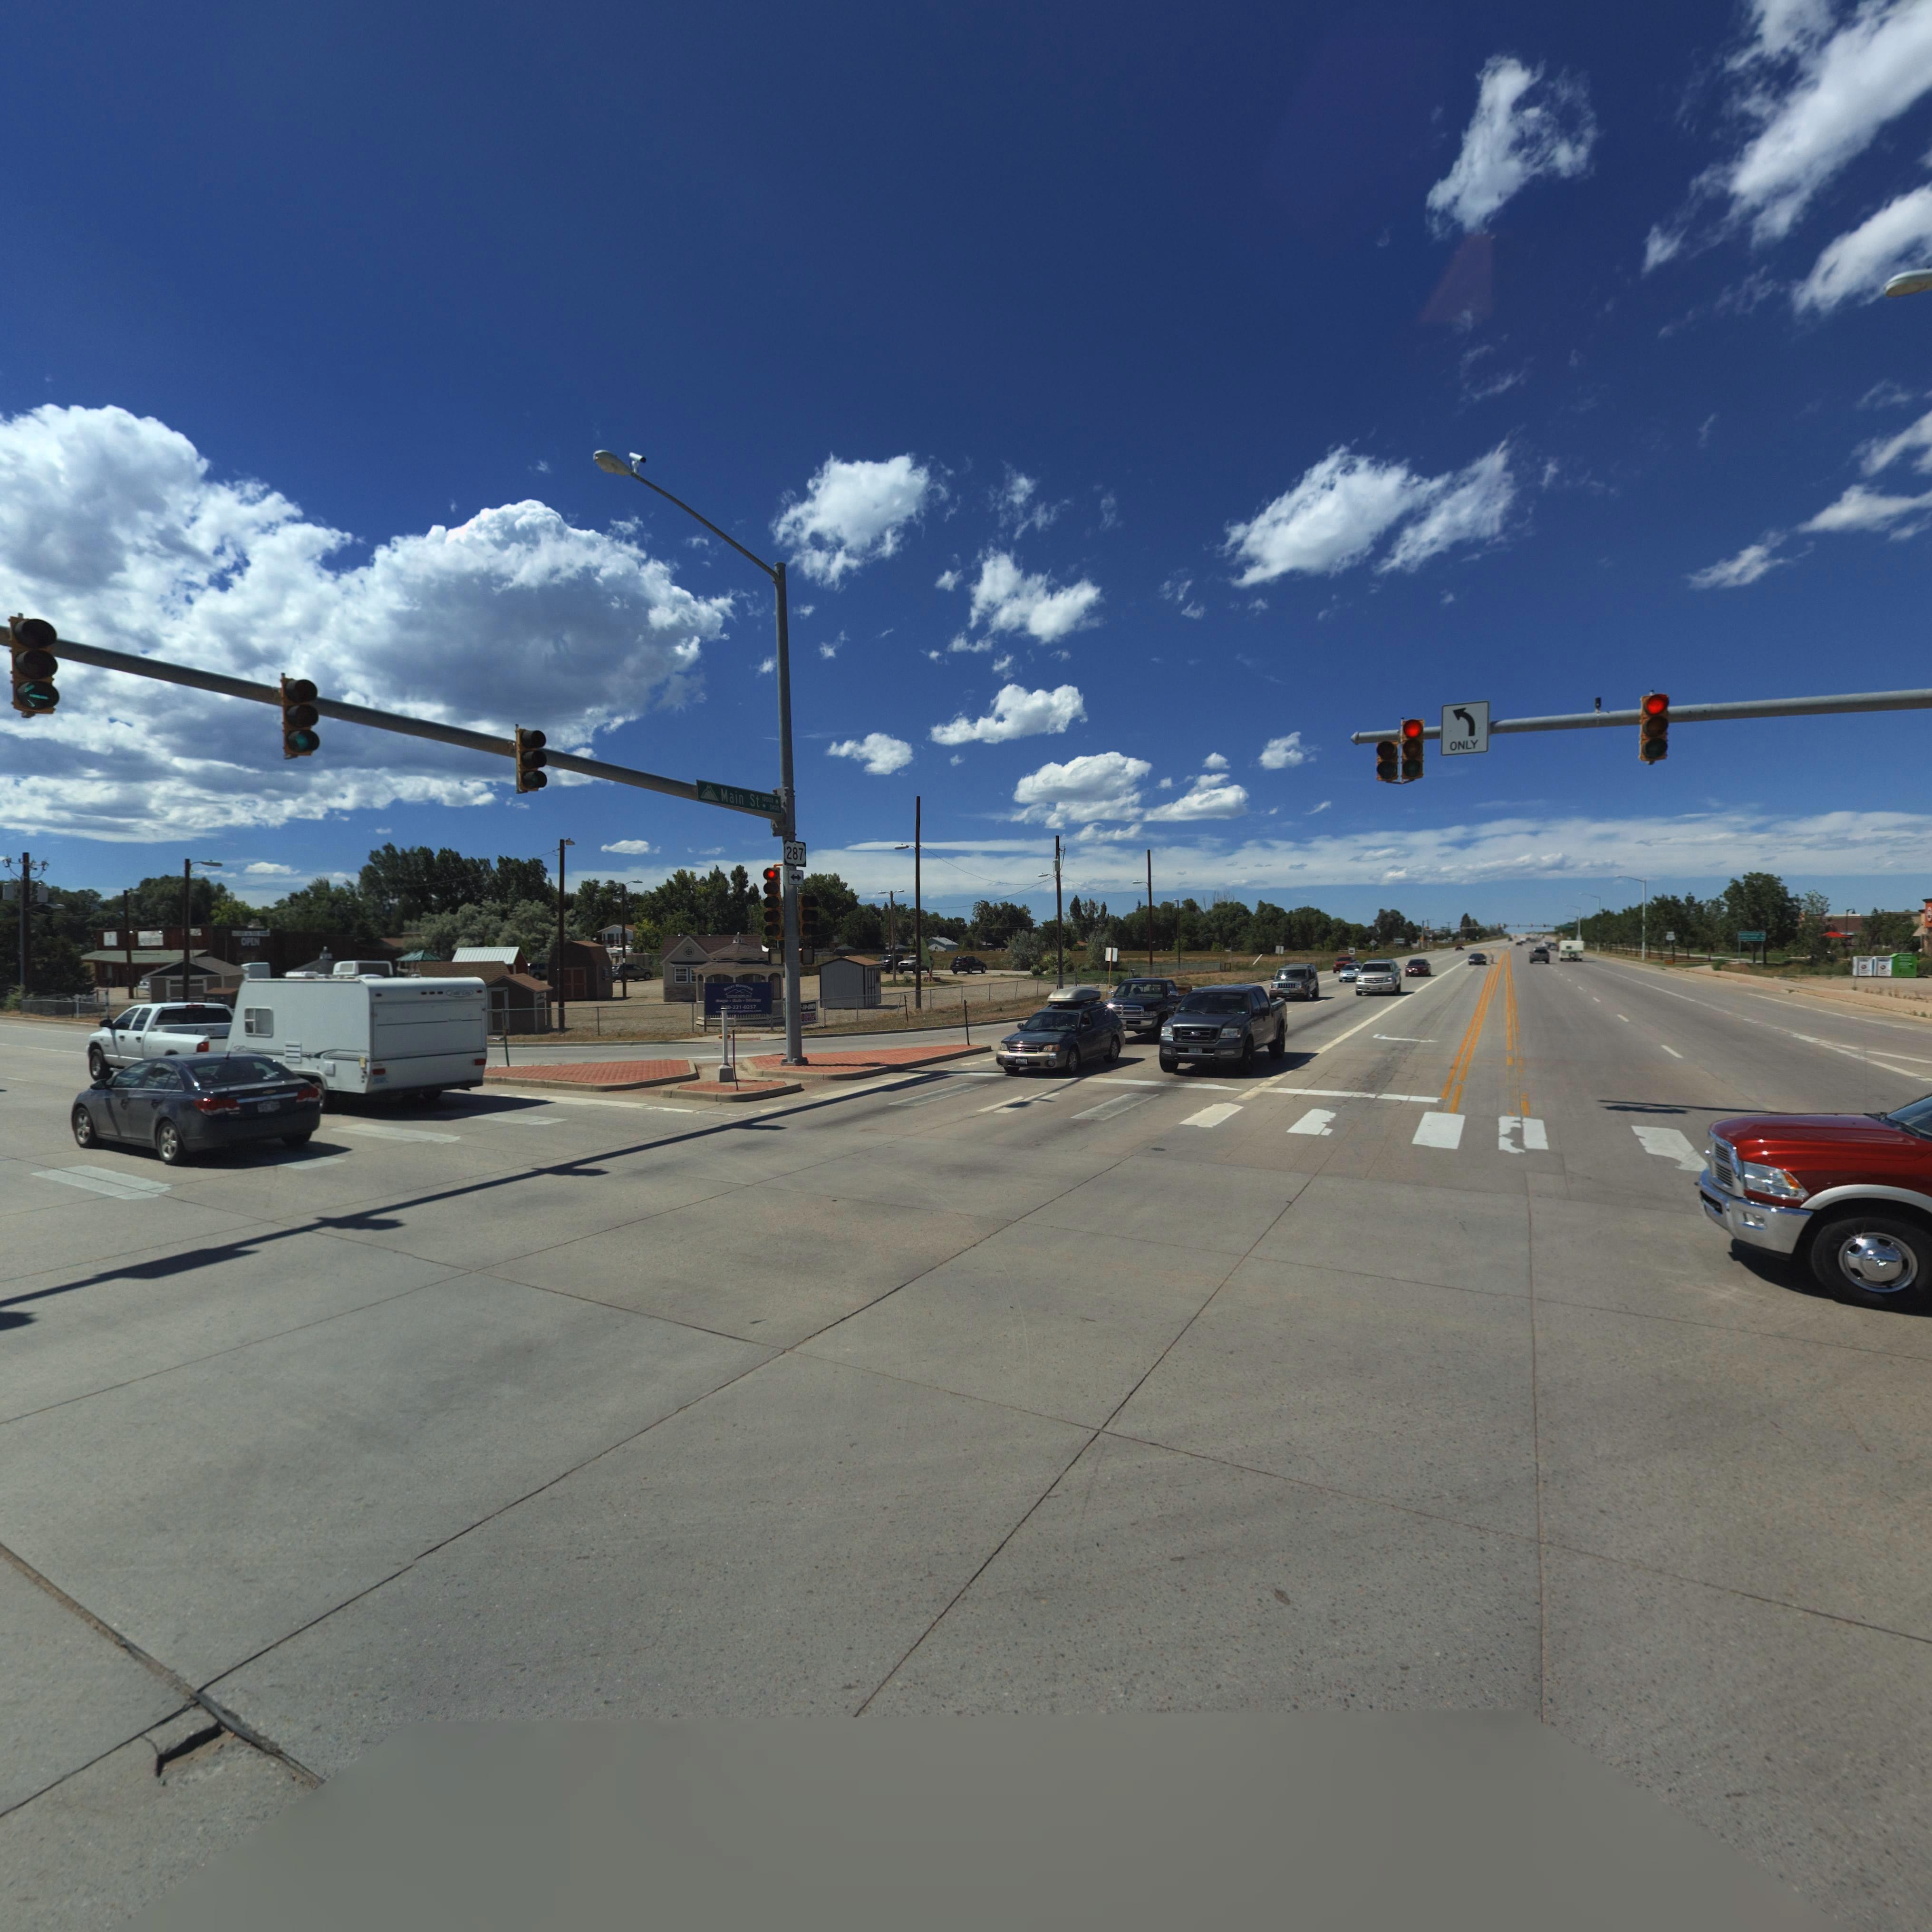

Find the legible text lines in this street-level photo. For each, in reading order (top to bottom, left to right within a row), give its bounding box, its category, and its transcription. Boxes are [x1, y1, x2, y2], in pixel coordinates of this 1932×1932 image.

[720, 787, 759, 807] StreetName: Main St
[761, 794, 773, 802] StreetNumberRange: 10000
[761, 802, 779, 811] StreetNumberRange: <-2400